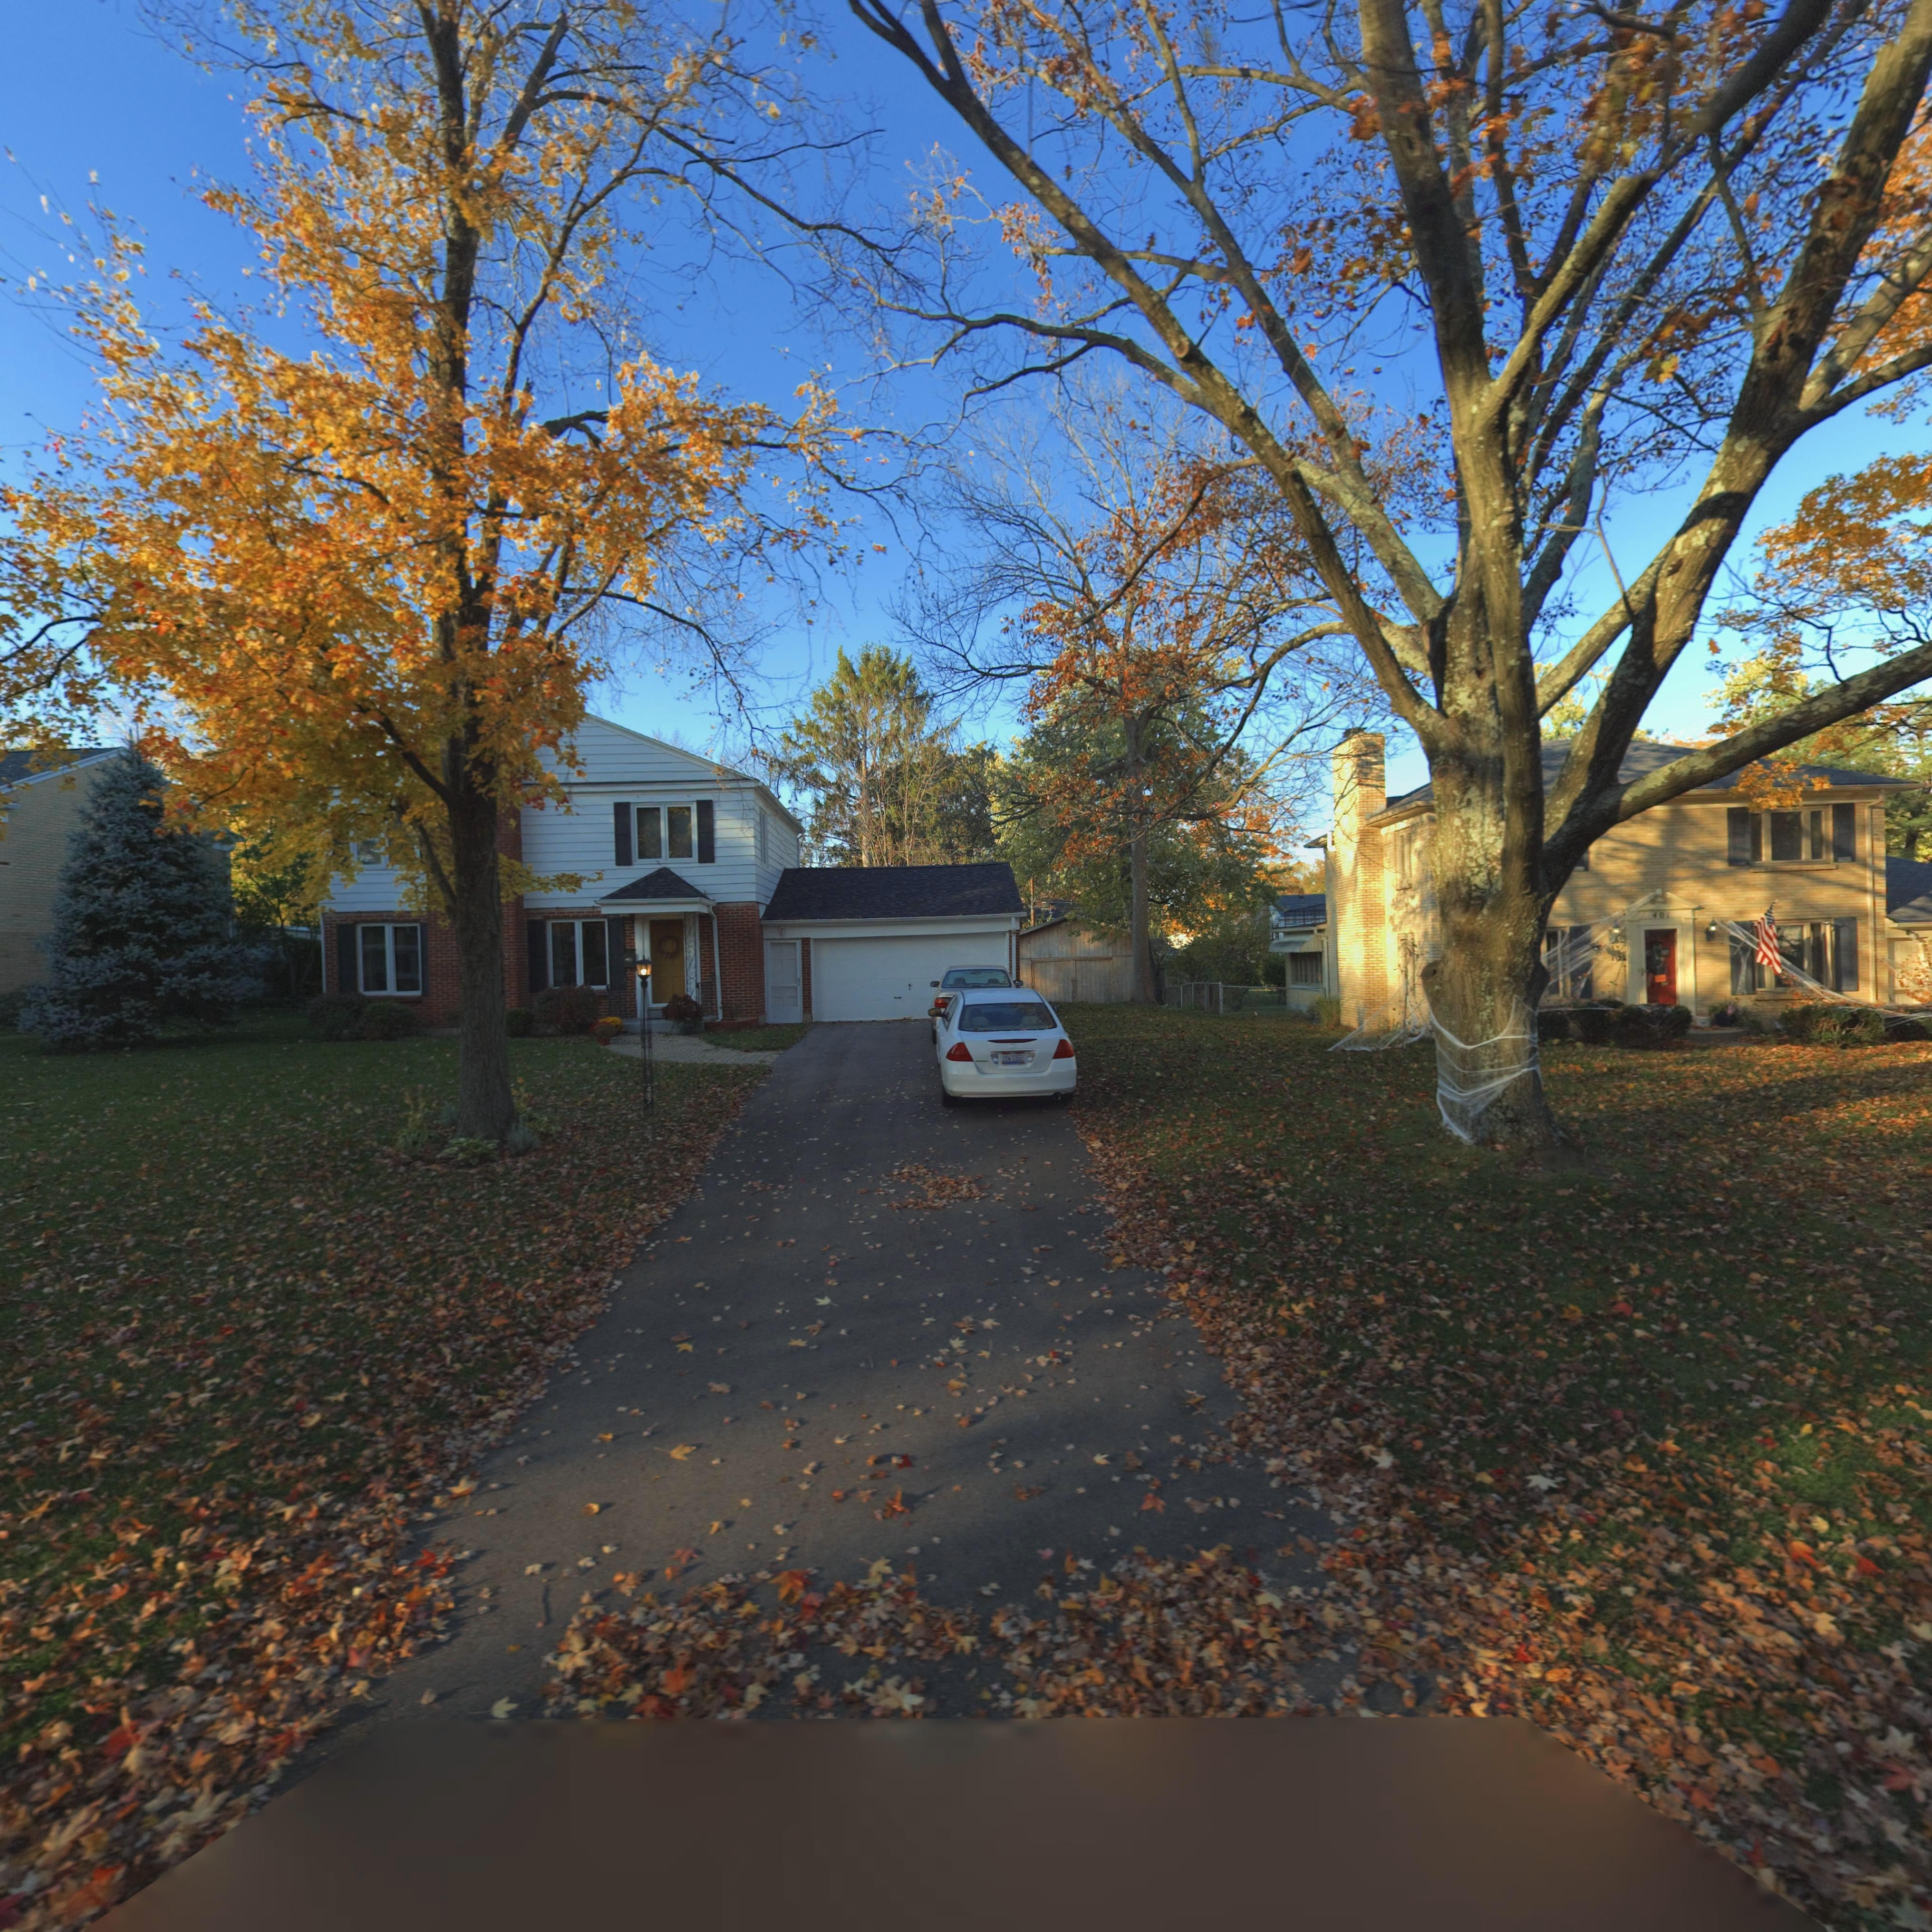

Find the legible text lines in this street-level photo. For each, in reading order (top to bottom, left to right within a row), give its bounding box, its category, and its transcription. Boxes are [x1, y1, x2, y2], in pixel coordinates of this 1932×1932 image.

[1652, 910, 1671, 919] StreetNumber: 401